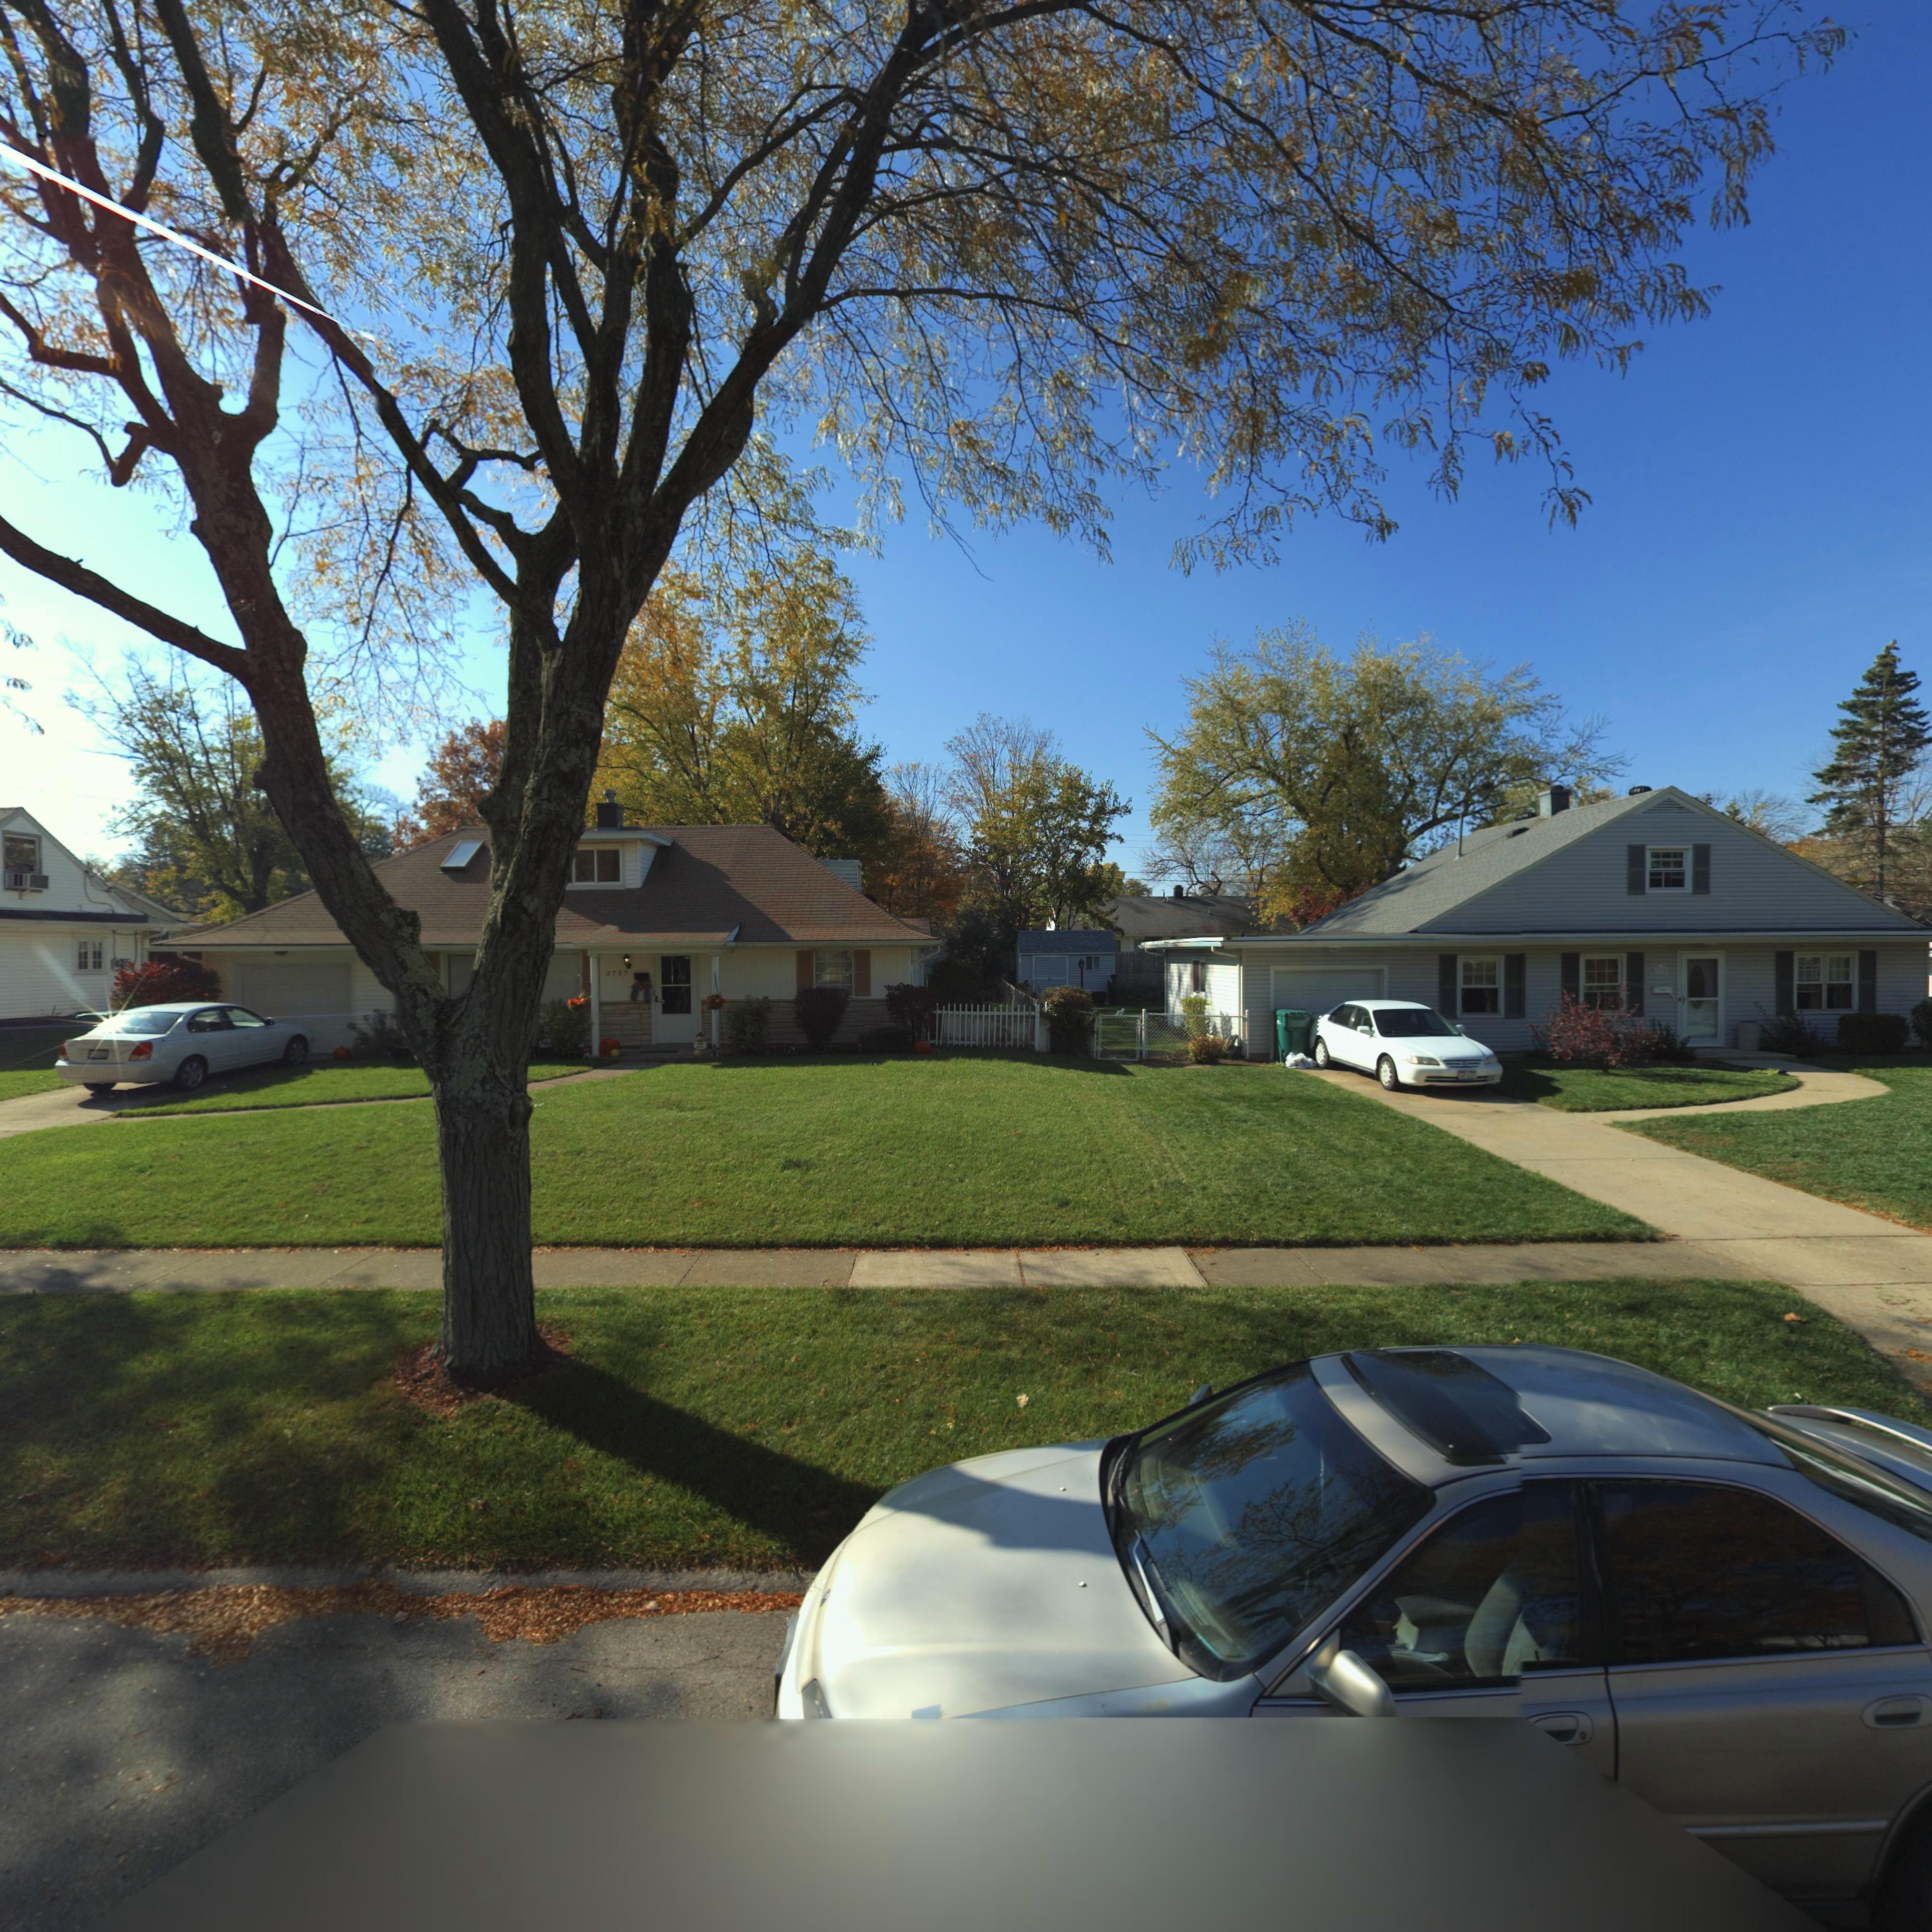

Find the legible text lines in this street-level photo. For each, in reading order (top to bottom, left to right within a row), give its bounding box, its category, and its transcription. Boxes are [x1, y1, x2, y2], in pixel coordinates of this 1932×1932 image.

[605, 970, 628, 976] StreetNumber: 3737